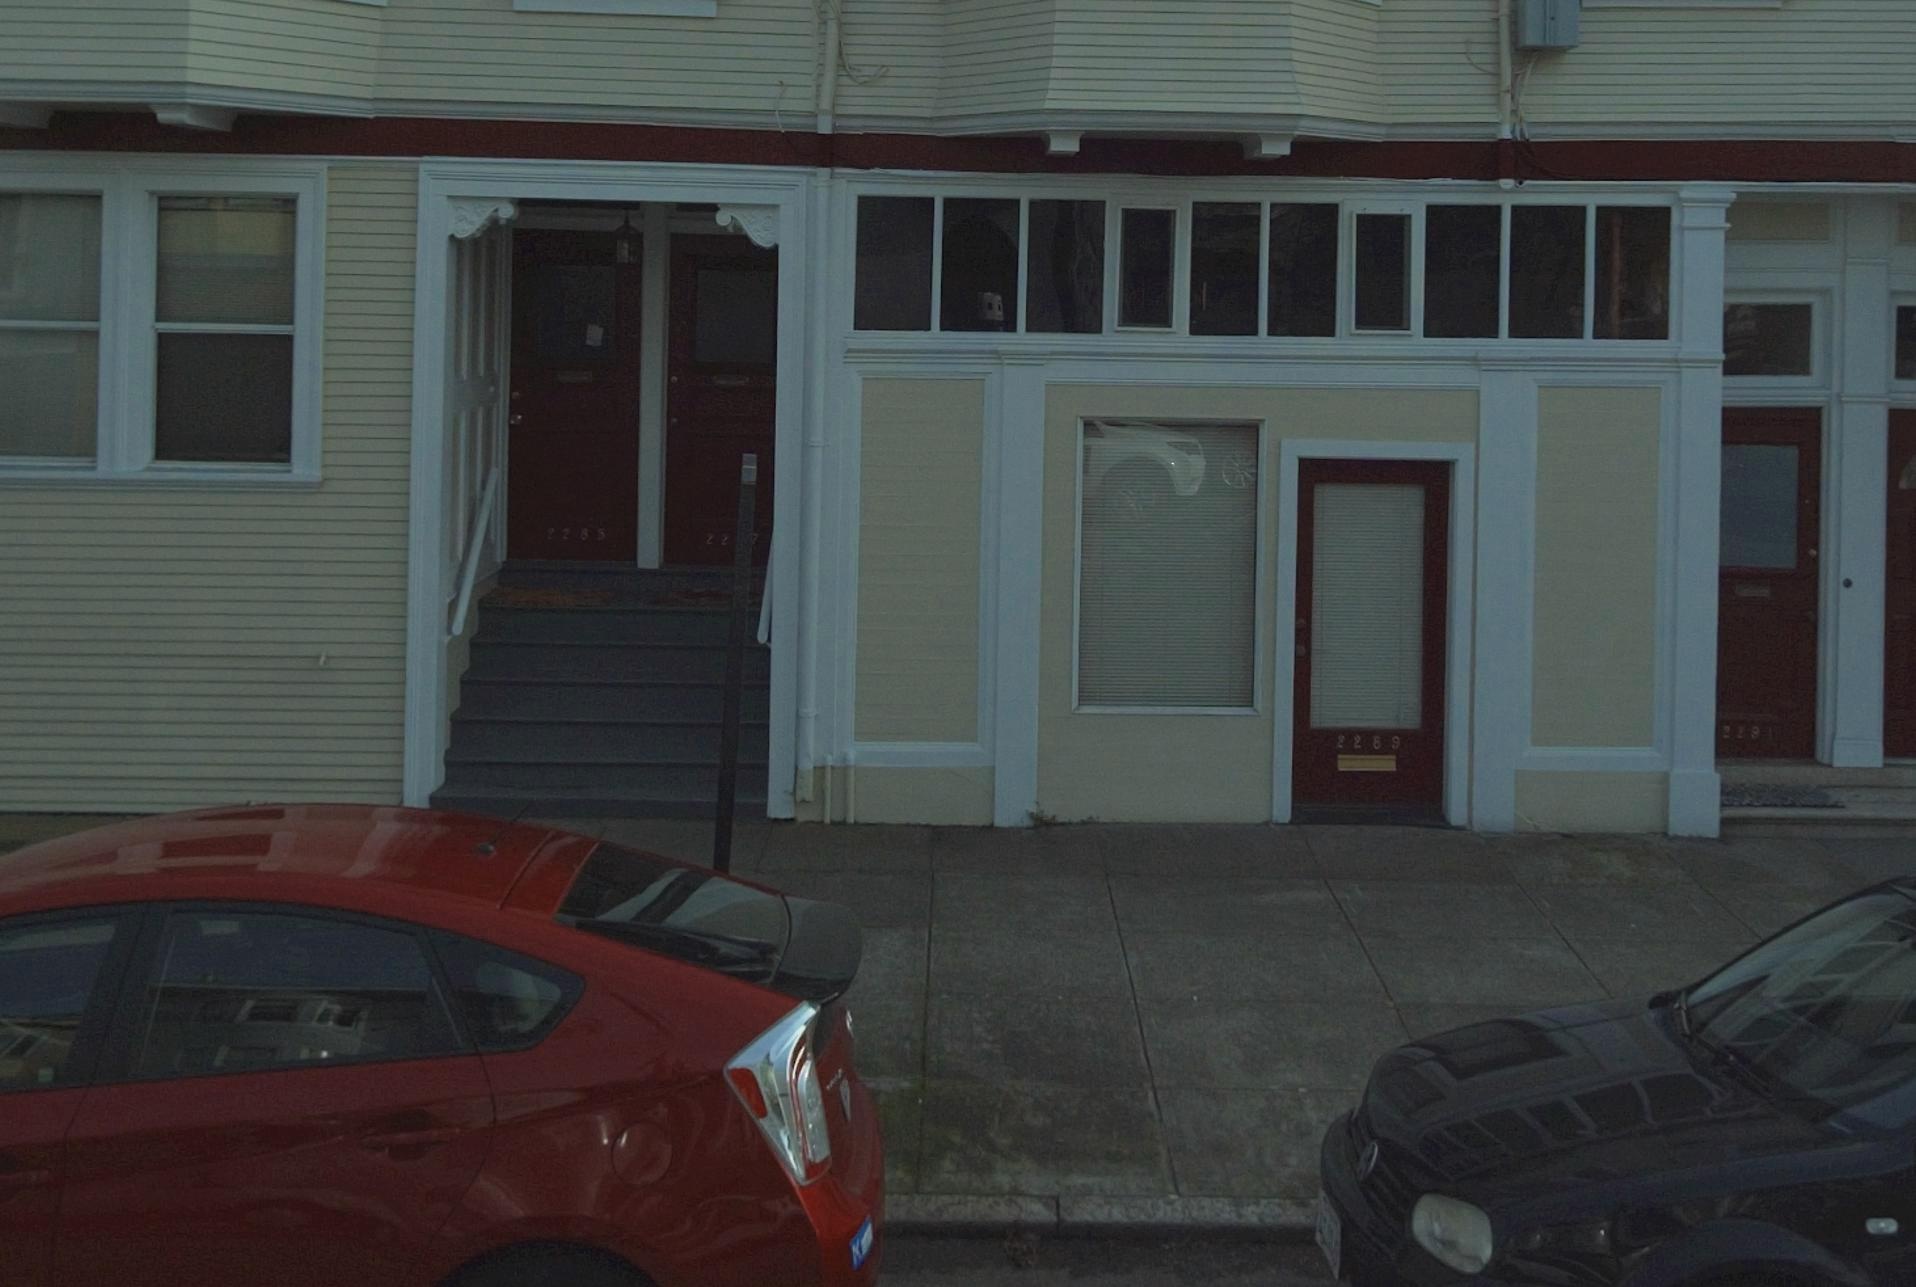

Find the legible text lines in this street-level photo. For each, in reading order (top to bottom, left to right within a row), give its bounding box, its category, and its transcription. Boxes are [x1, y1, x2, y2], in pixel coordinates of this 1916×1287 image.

[545, 525, 607, 543] StreetNumber: 2285
[702, 531, 731, 548] StreetNumber: 22
[1334, 732, 1403, 752] StreetNumber: 2289
[1719, 722, 1776, 743] StreetNumber: 2291